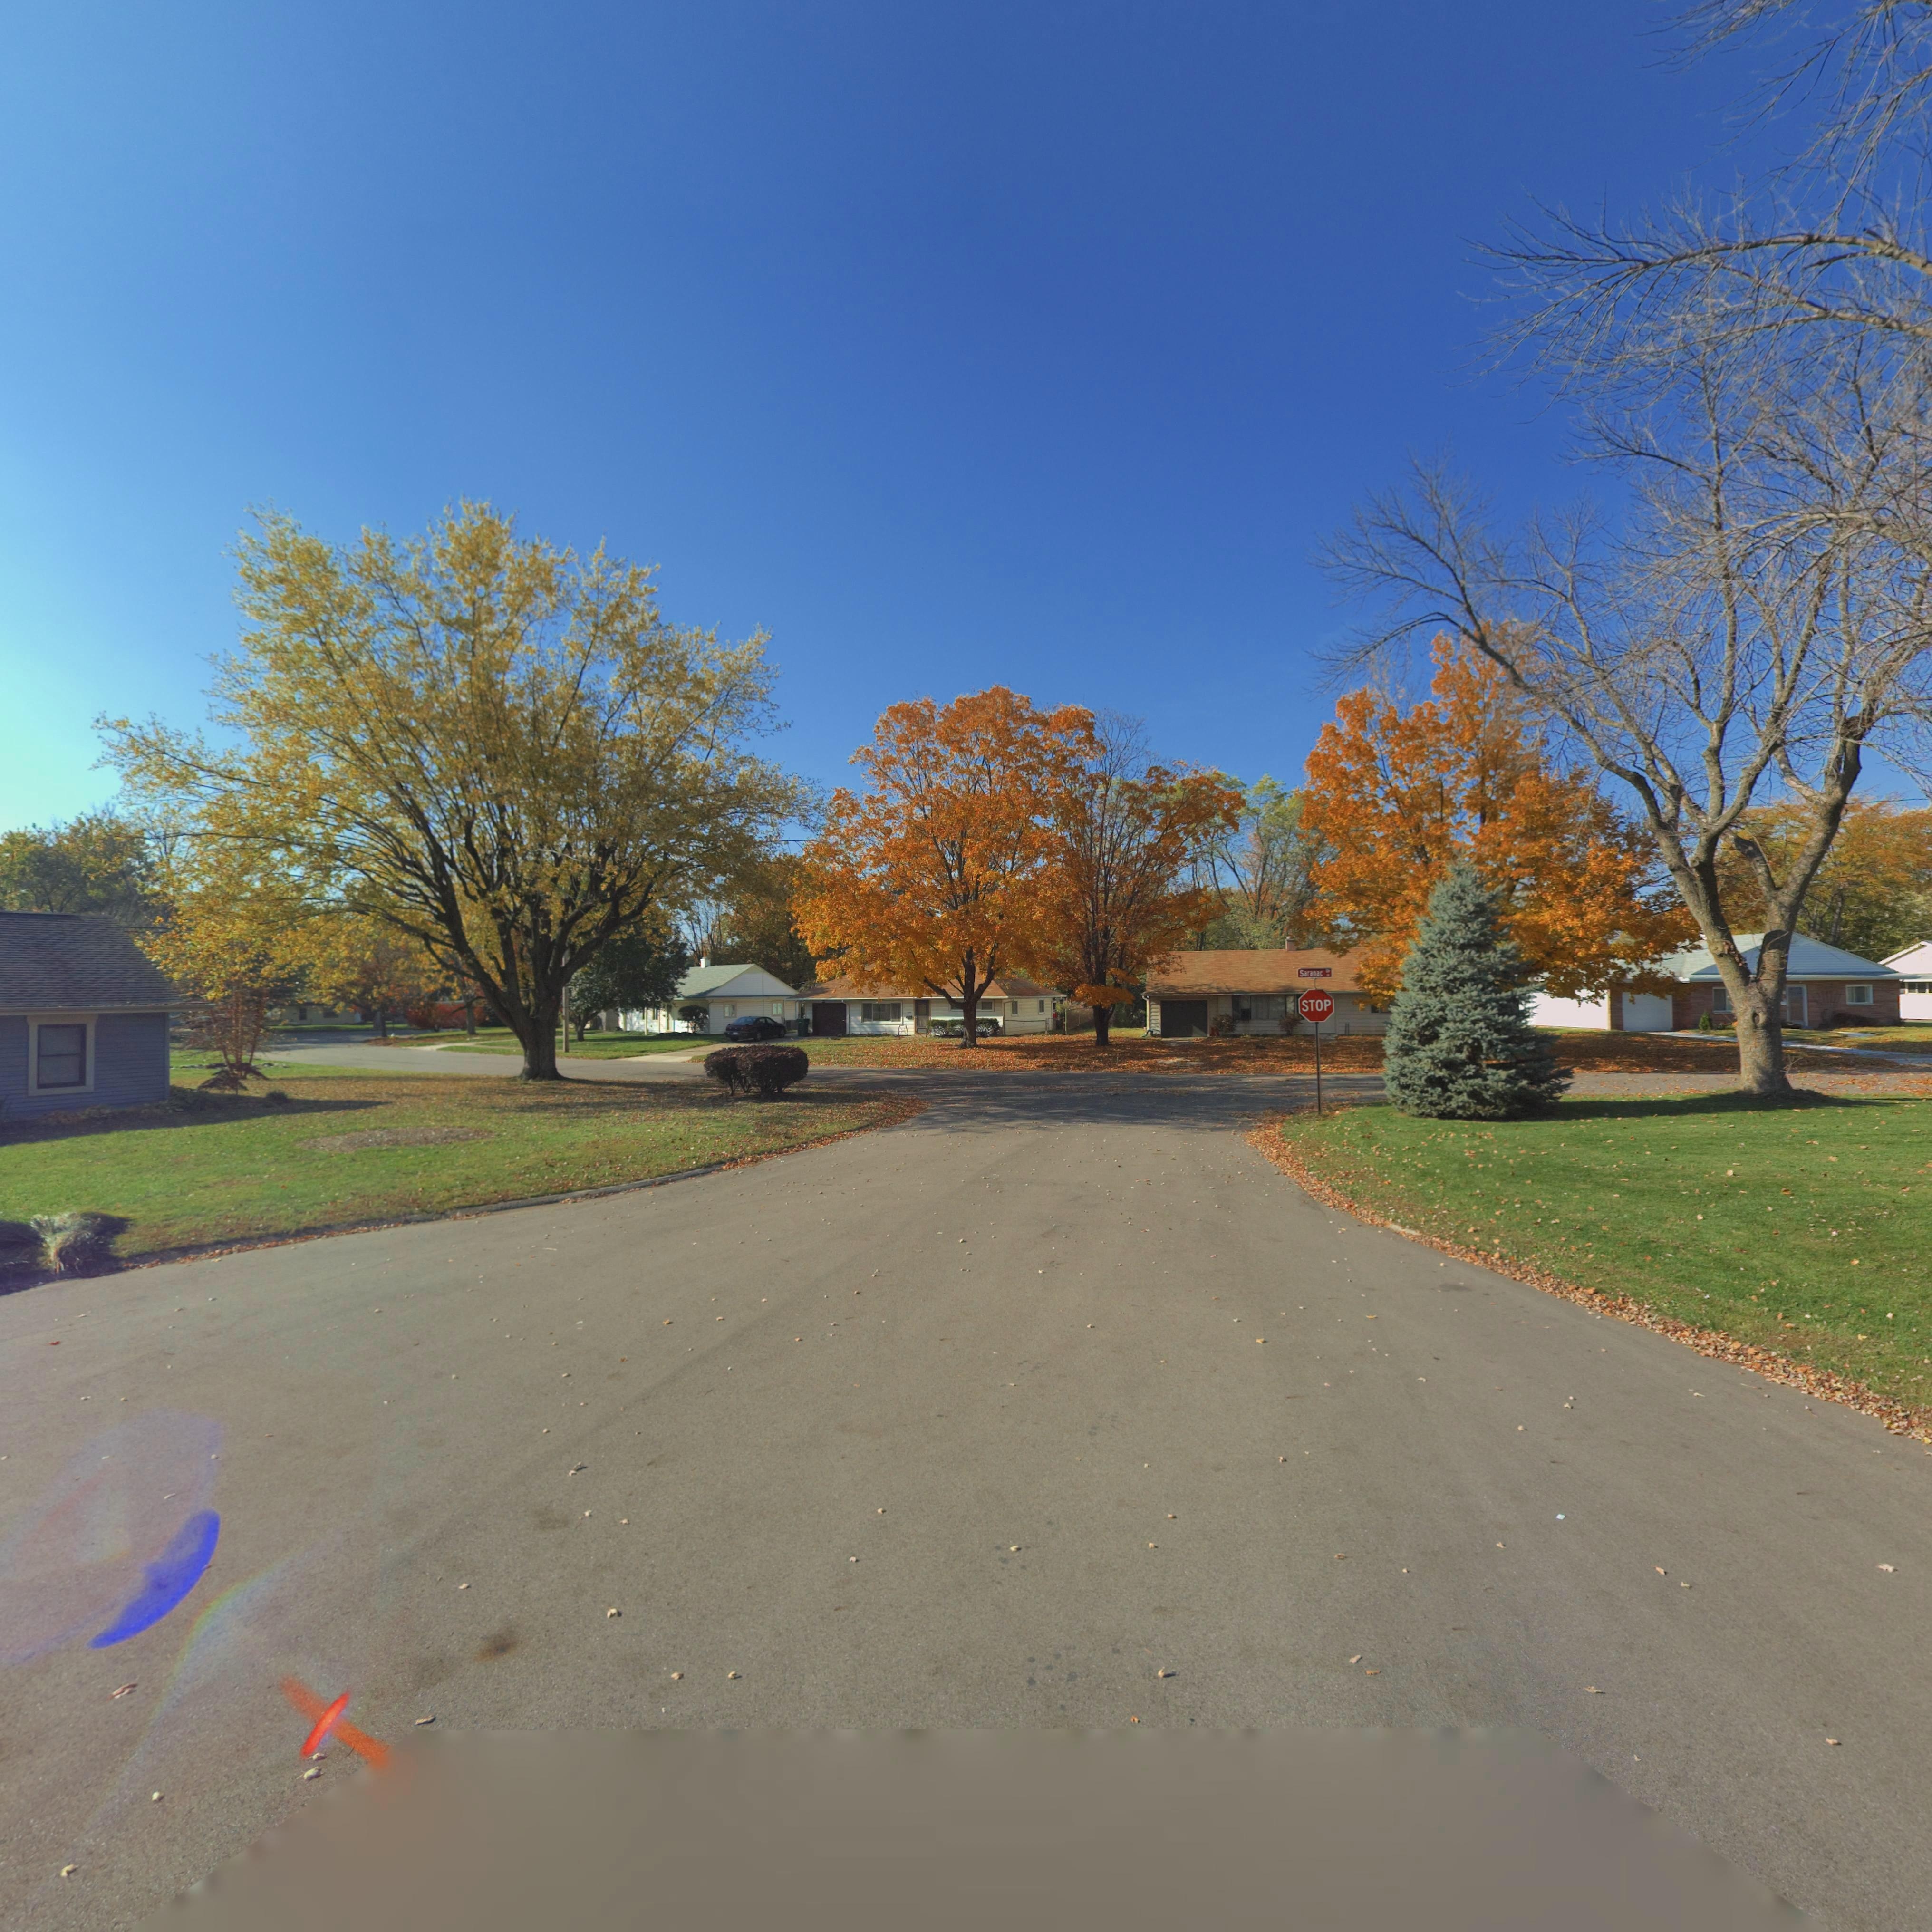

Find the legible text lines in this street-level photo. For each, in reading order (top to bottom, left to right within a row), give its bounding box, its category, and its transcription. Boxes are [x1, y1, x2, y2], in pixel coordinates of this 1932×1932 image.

[1298, 968, 1332, 977] StreetName: Saranac Dr
[1300, 998, 1332, 1013] None: STOP